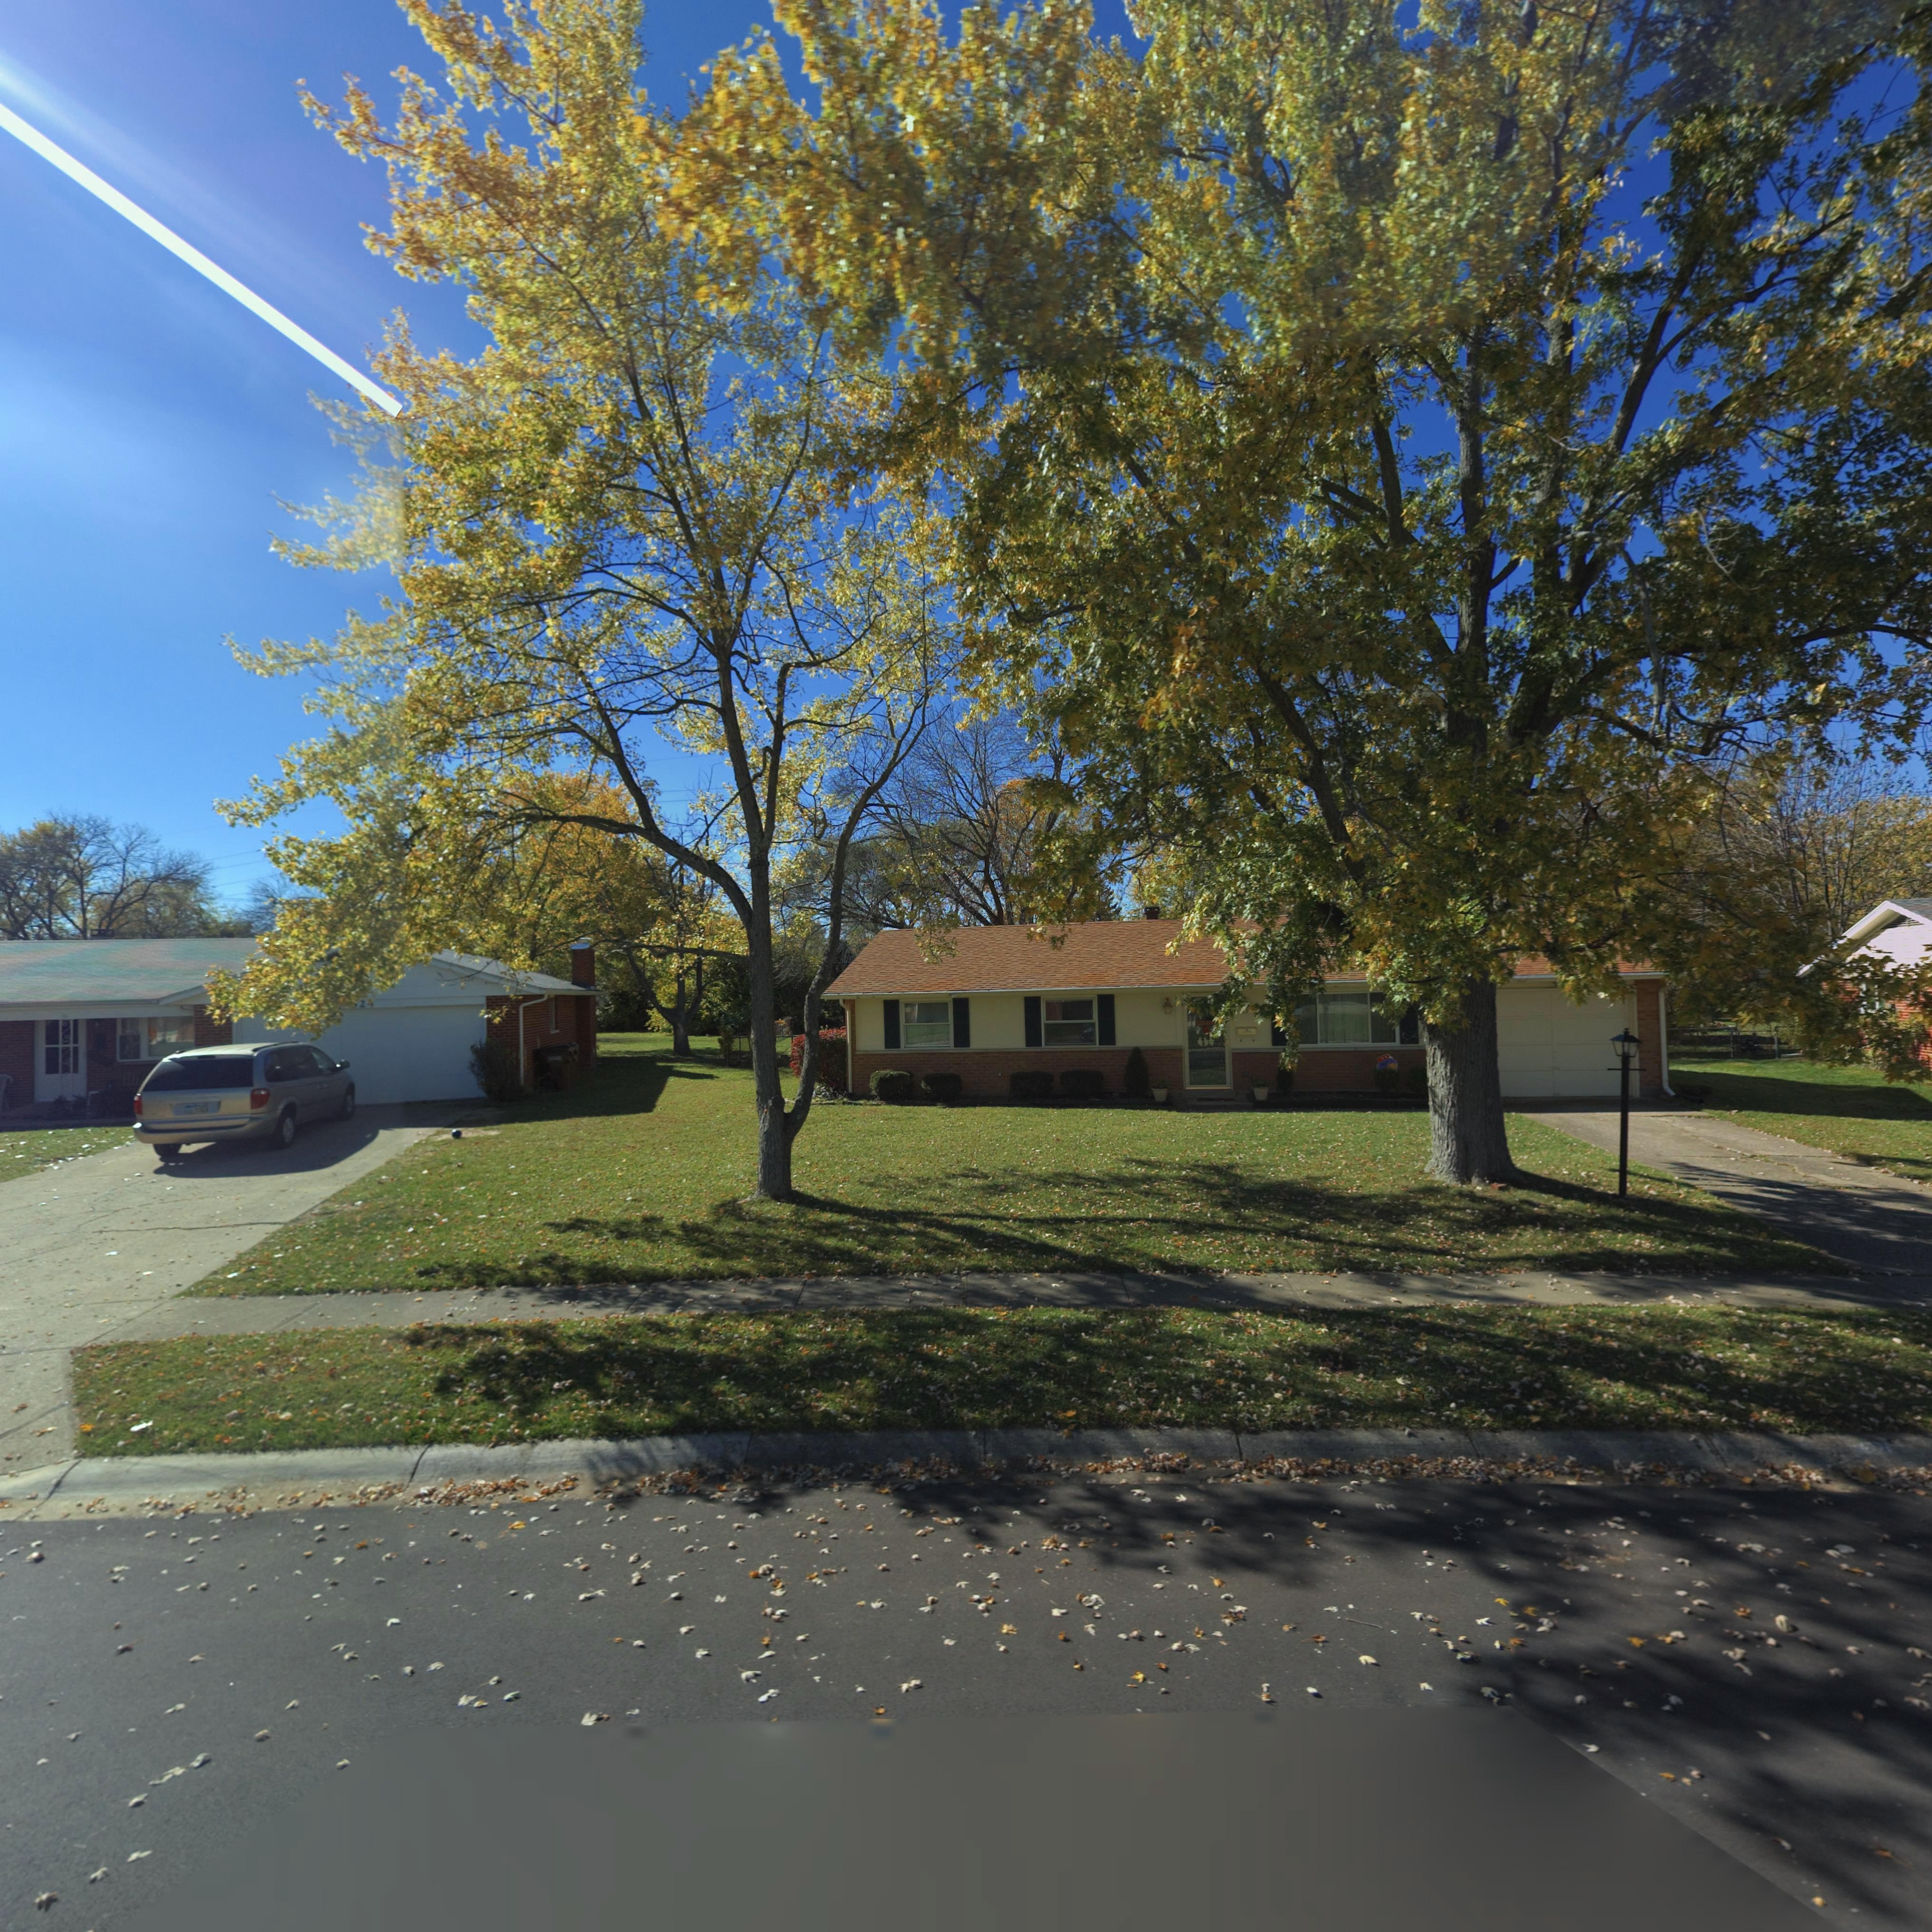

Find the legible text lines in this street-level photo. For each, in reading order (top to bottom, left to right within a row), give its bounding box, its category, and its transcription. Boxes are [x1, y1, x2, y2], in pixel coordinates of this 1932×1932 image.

[358, 1000, 366, 1008] StreetNumber: 2